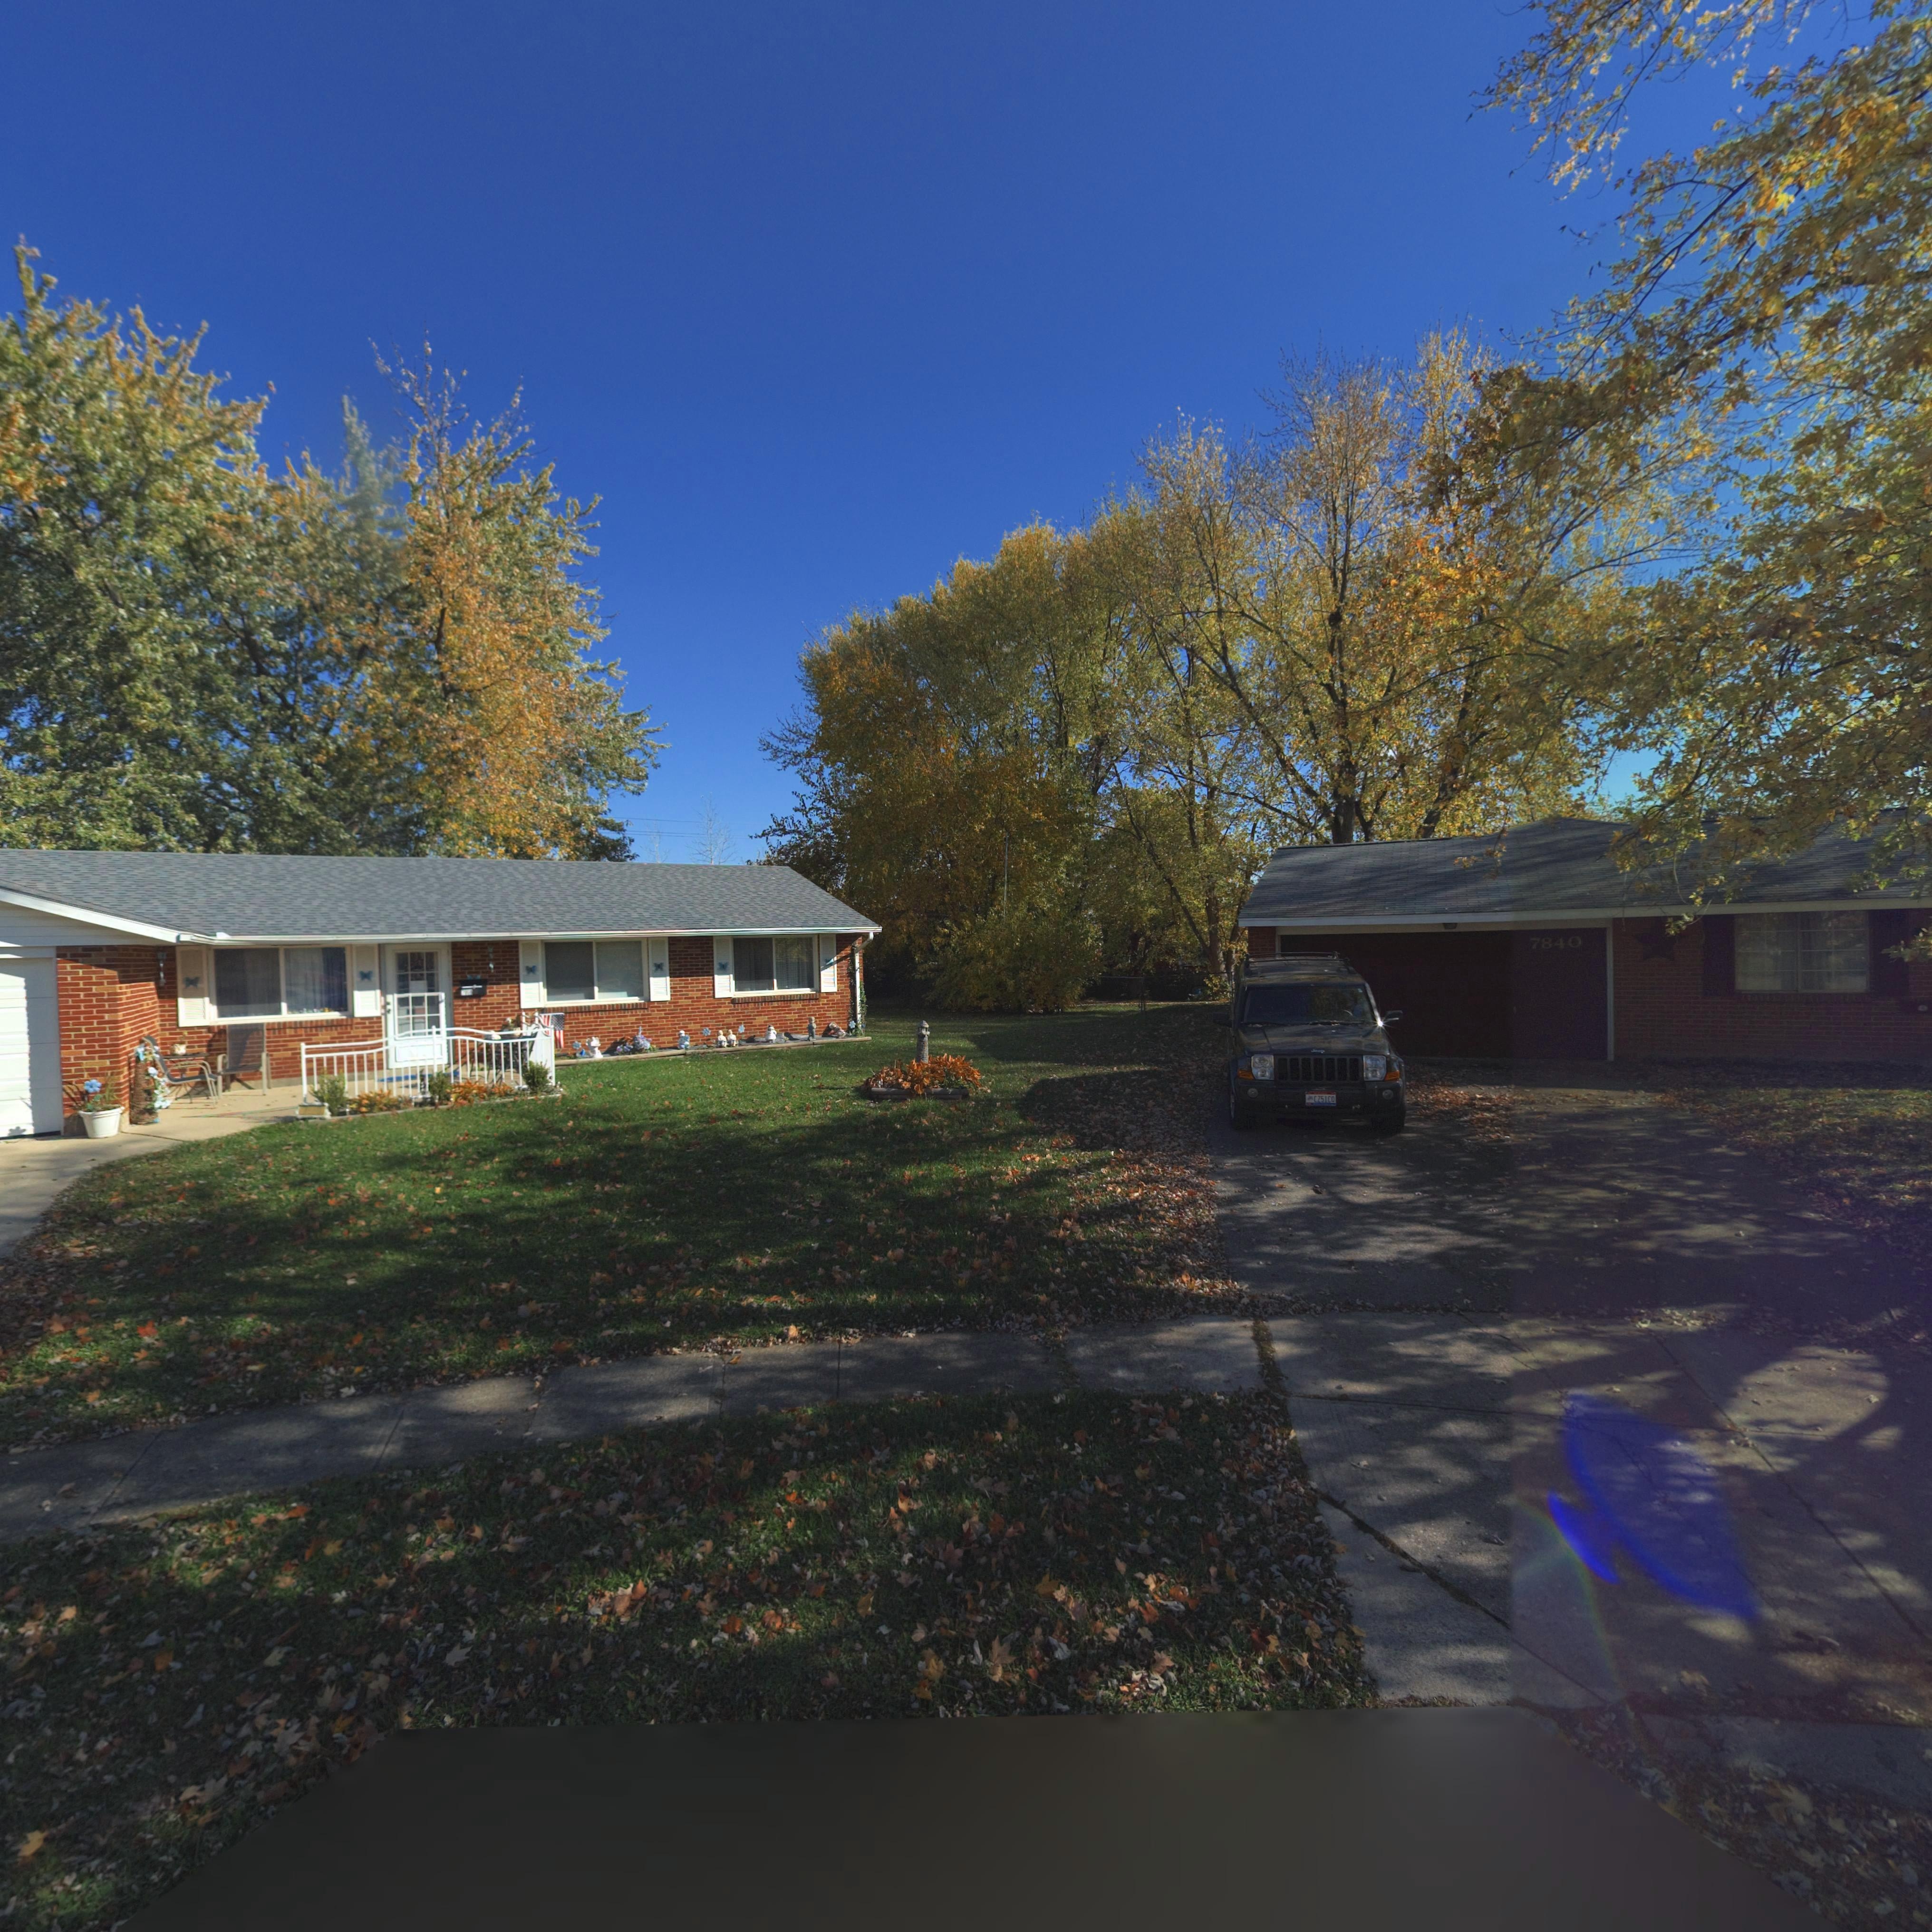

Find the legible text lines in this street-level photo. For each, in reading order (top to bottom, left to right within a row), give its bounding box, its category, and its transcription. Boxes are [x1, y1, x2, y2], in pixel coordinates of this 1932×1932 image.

[1528, 934, 1584, 951] StreetNumber: 7840